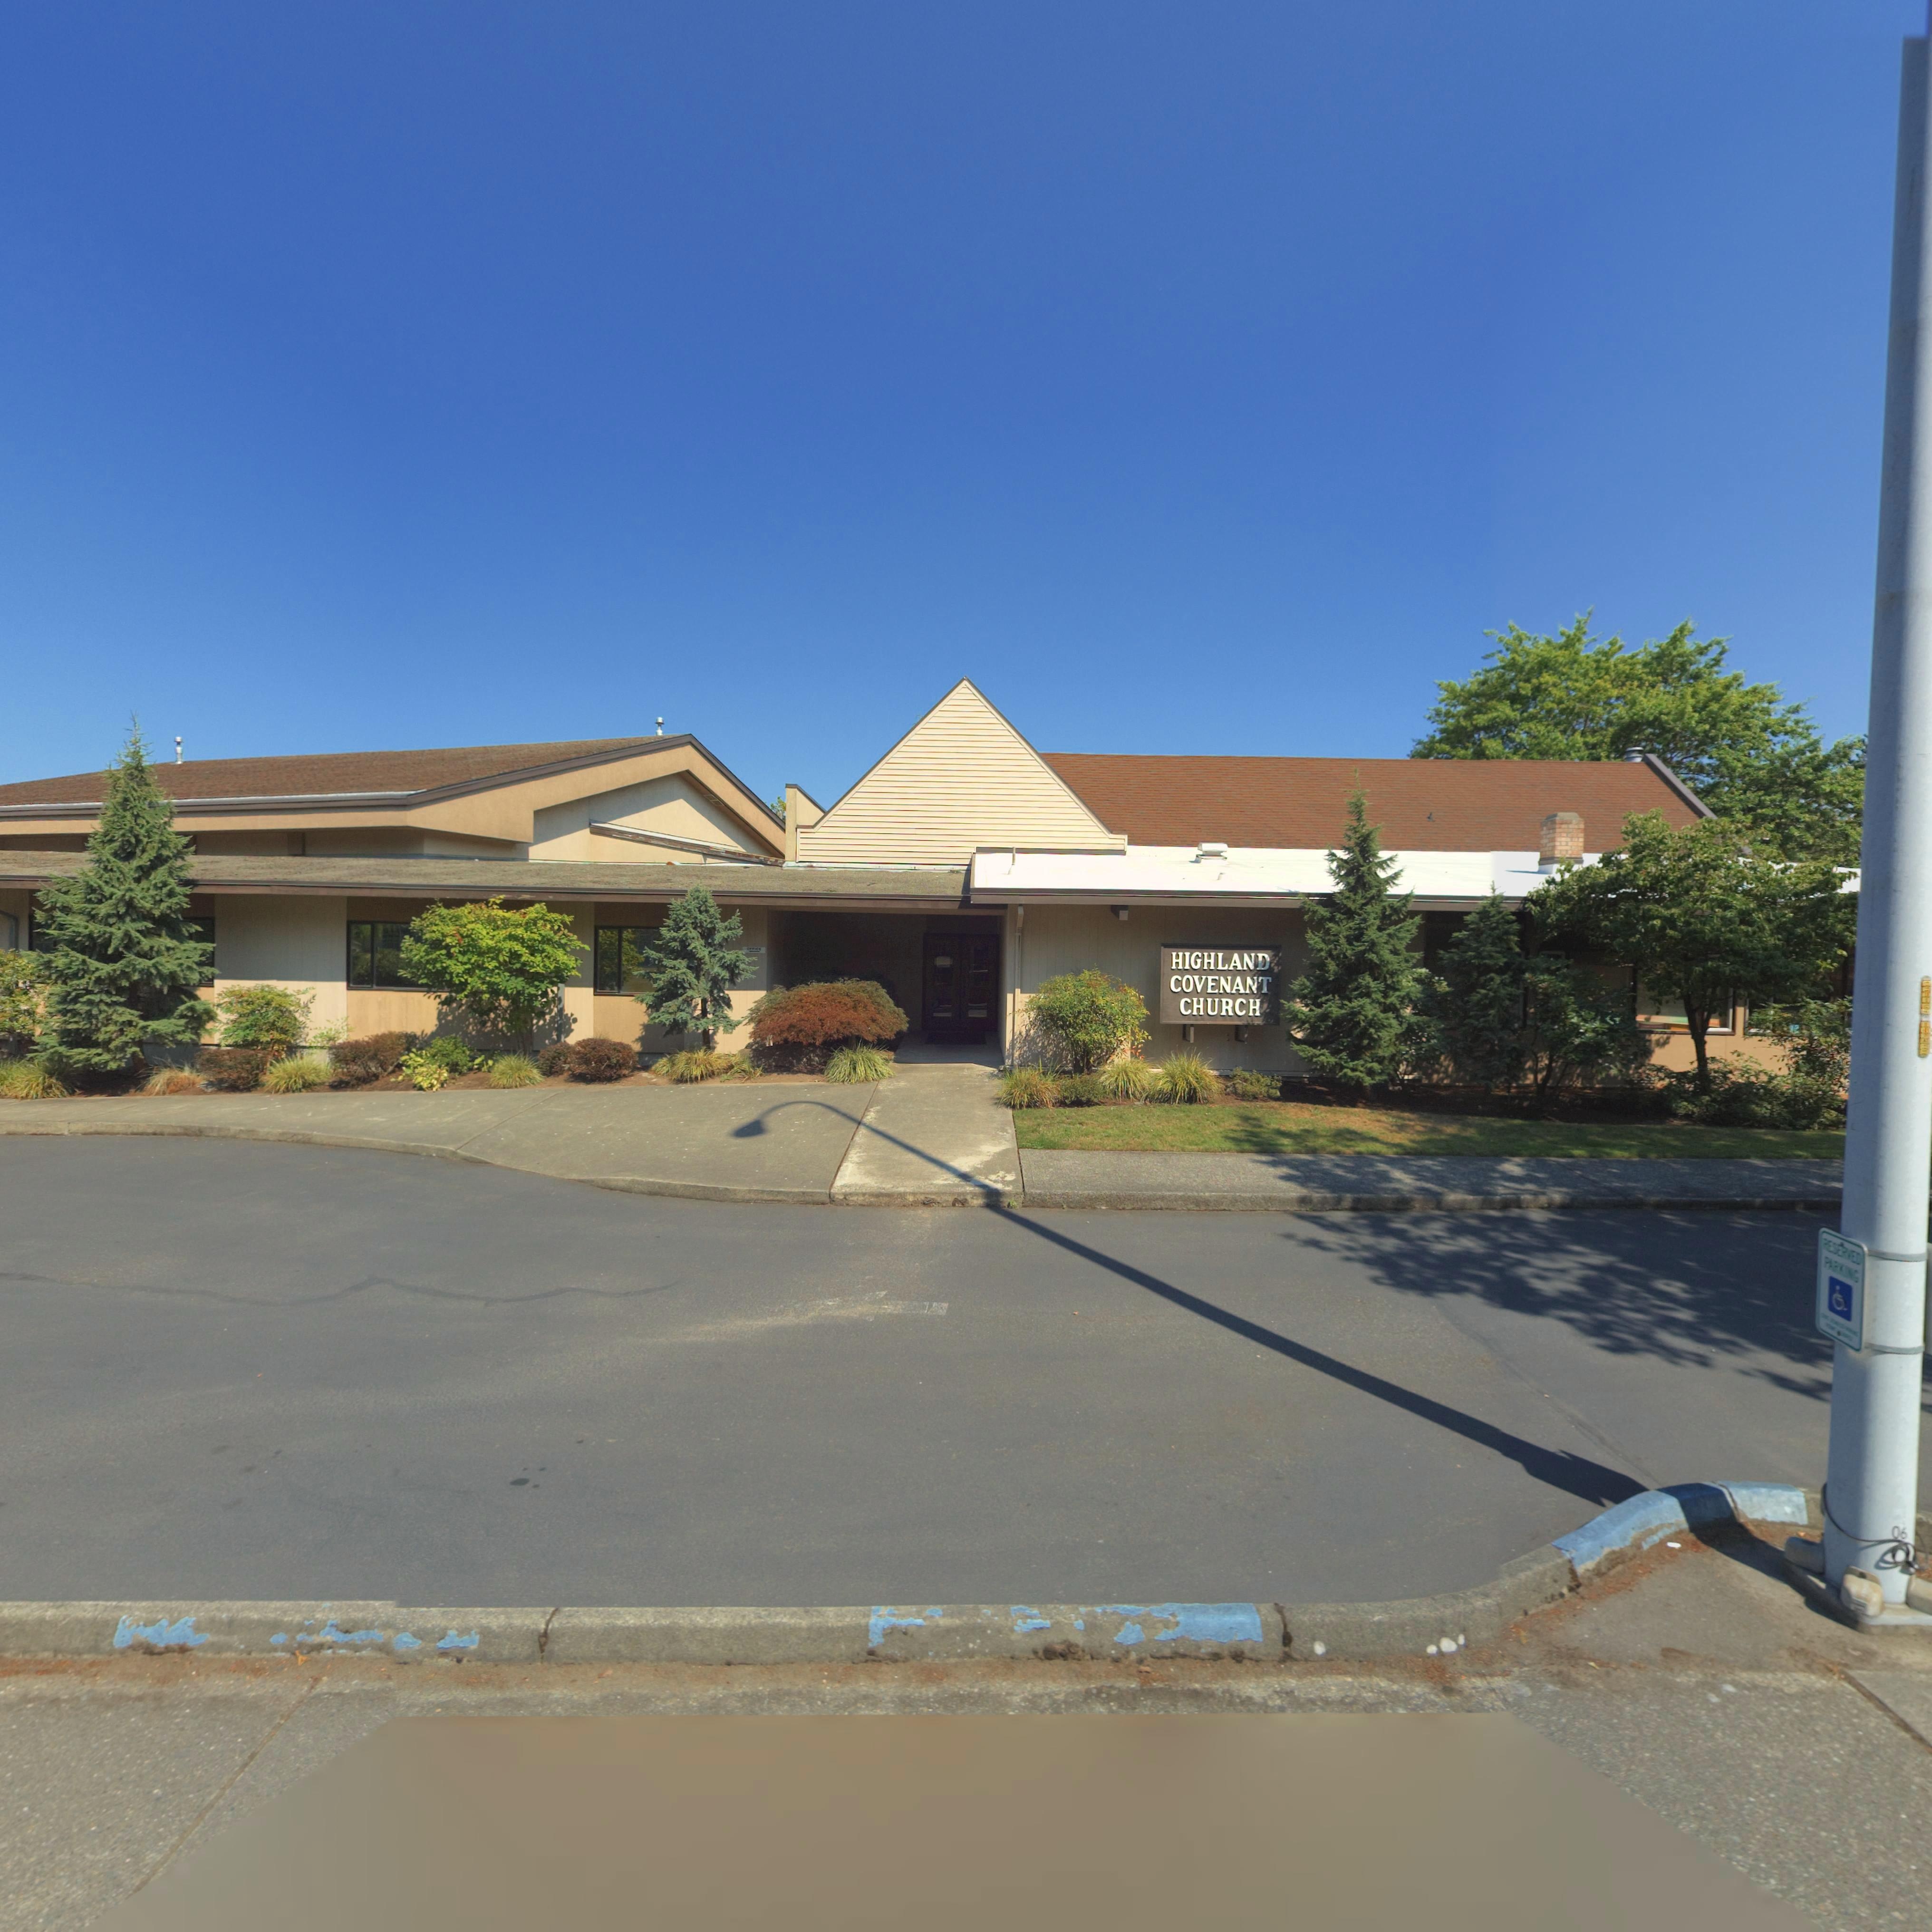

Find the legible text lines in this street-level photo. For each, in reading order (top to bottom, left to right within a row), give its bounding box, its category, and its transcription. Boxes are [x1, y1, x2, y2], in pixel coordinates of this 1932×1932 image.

[1169, 950, 1272, 971] BusinessName: HIGHLAND
[1169, 973, 1274, 995] BusinessName: COVENANT
[1178, 996, 1263, 1016] BusinessName: CHURCH